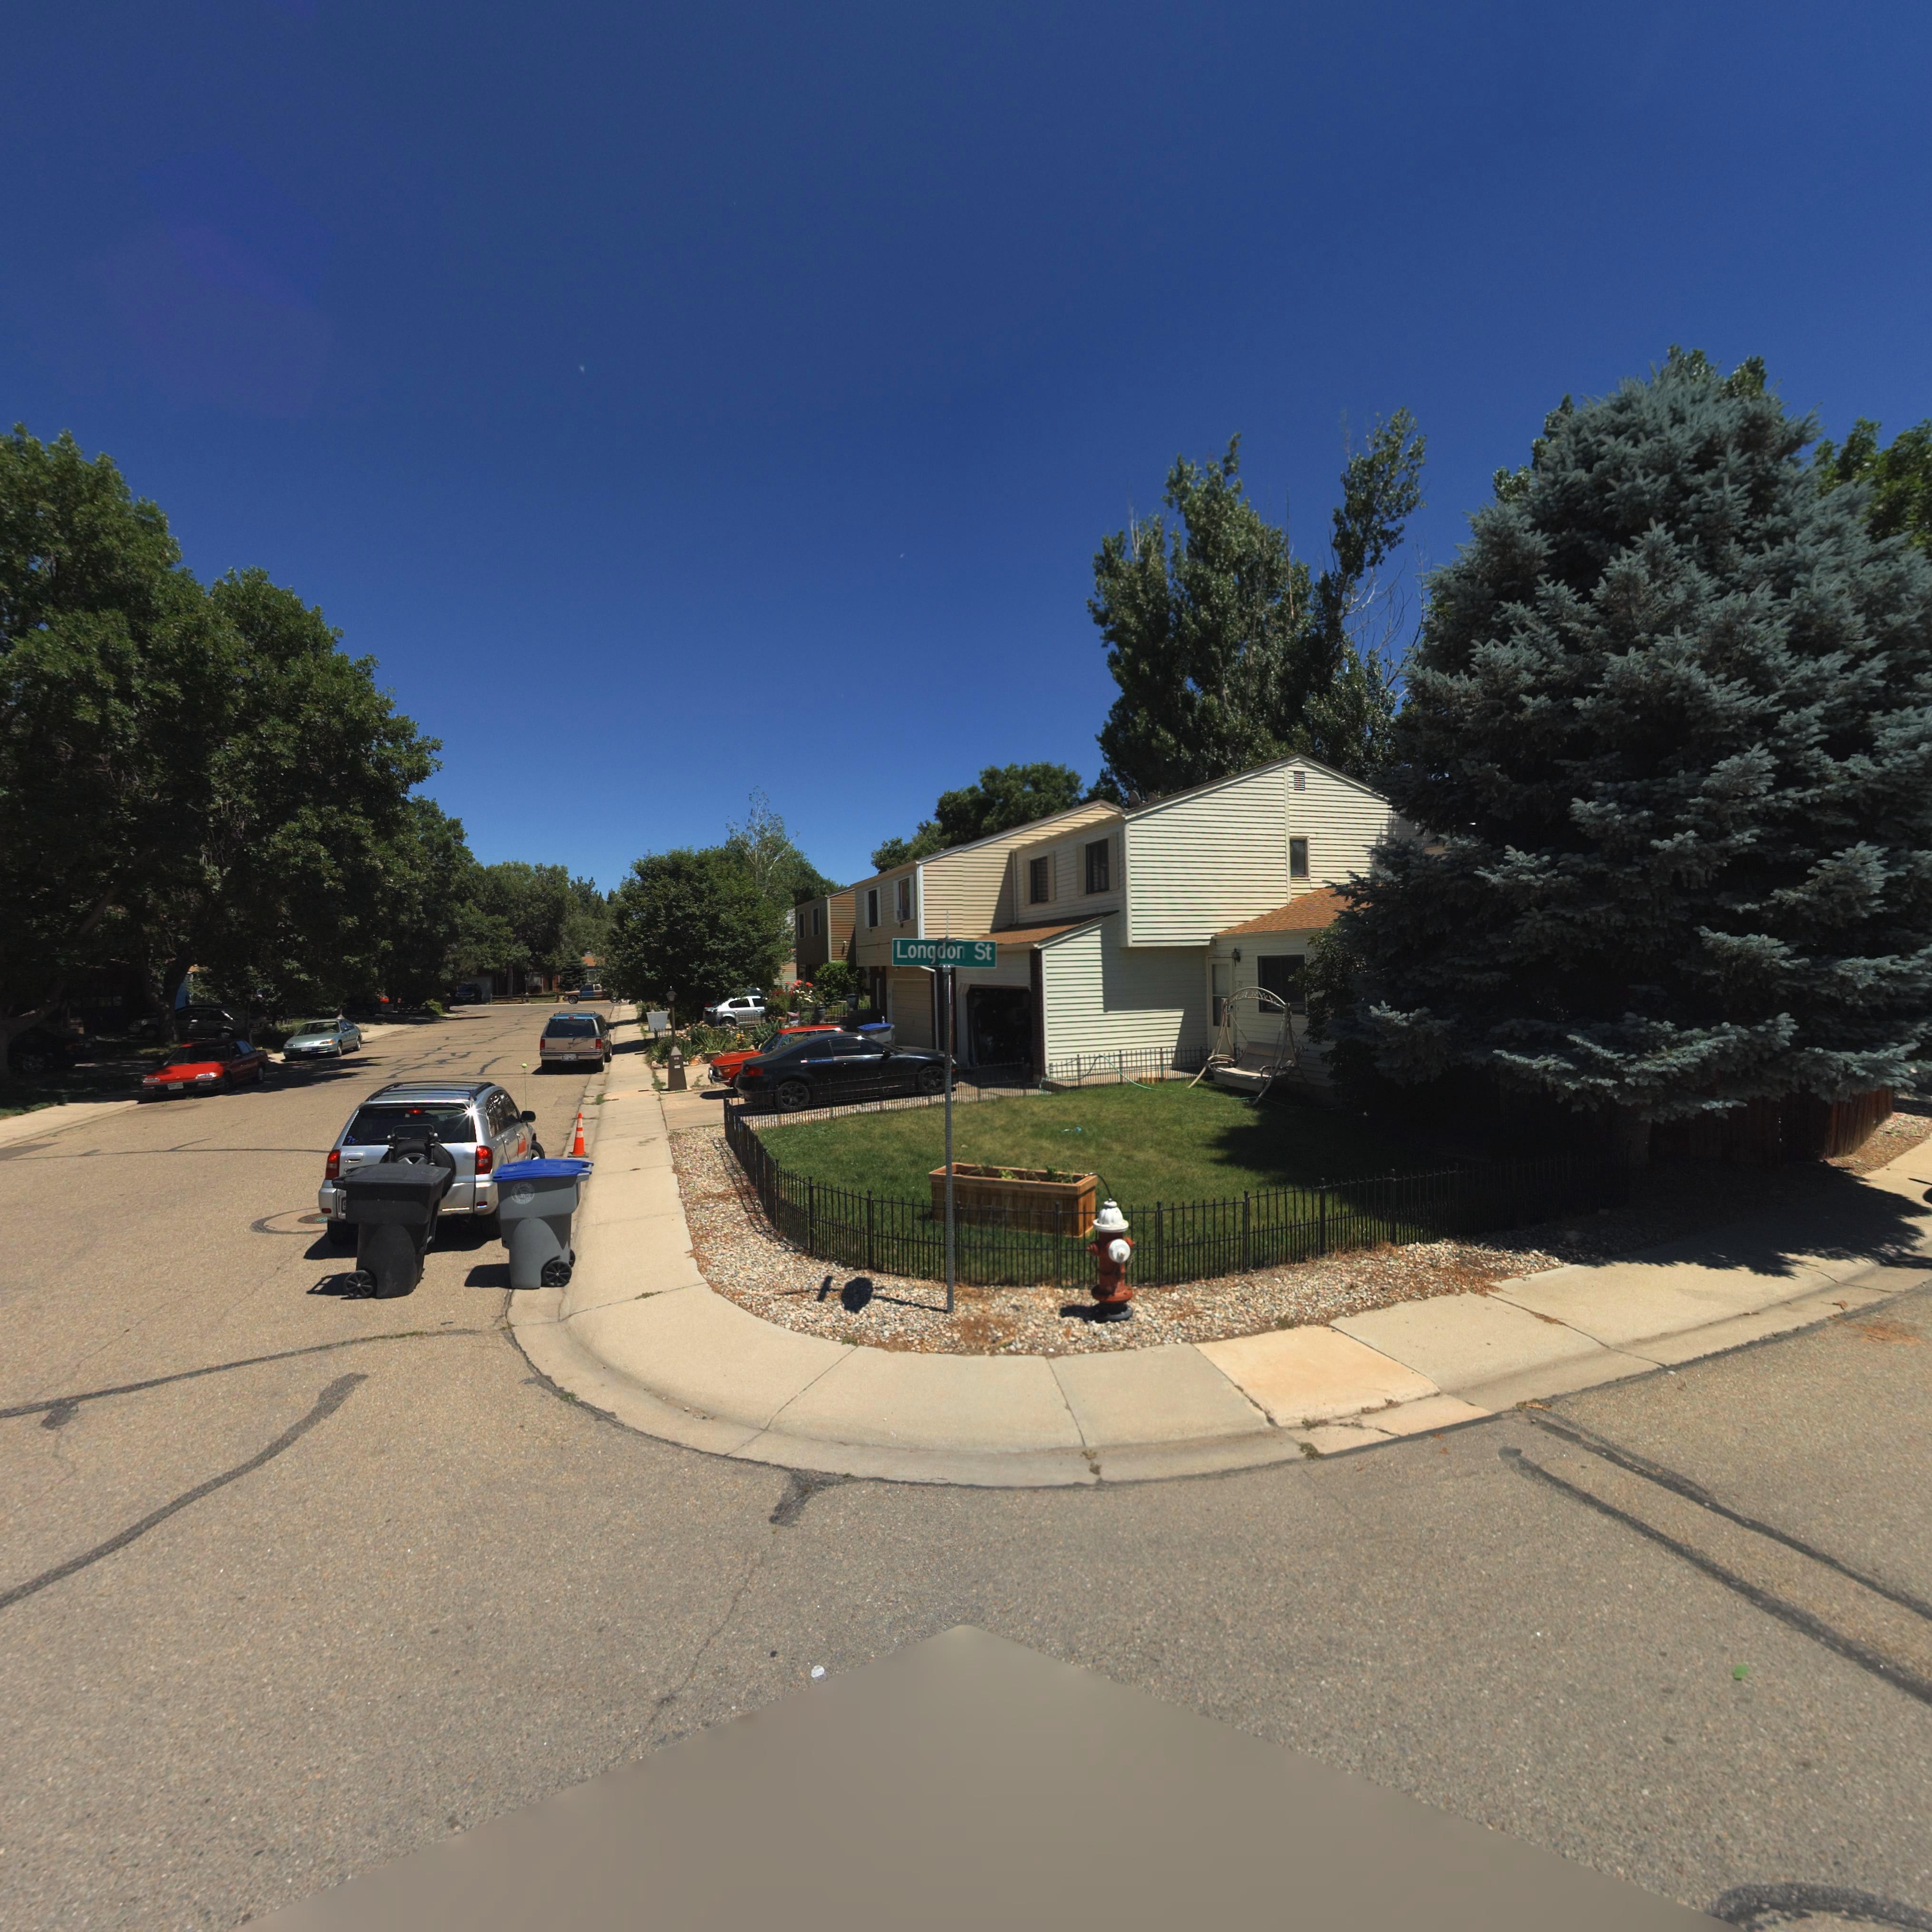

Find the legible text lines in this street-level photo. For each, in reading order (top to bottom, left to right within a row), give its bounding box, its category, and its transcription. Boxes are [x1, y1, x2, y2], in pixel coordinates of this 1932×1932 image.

[897, 940, 992, 965] StreetName: Longdon St
[1237, 980, 1243, 988] StreetNumber: *7